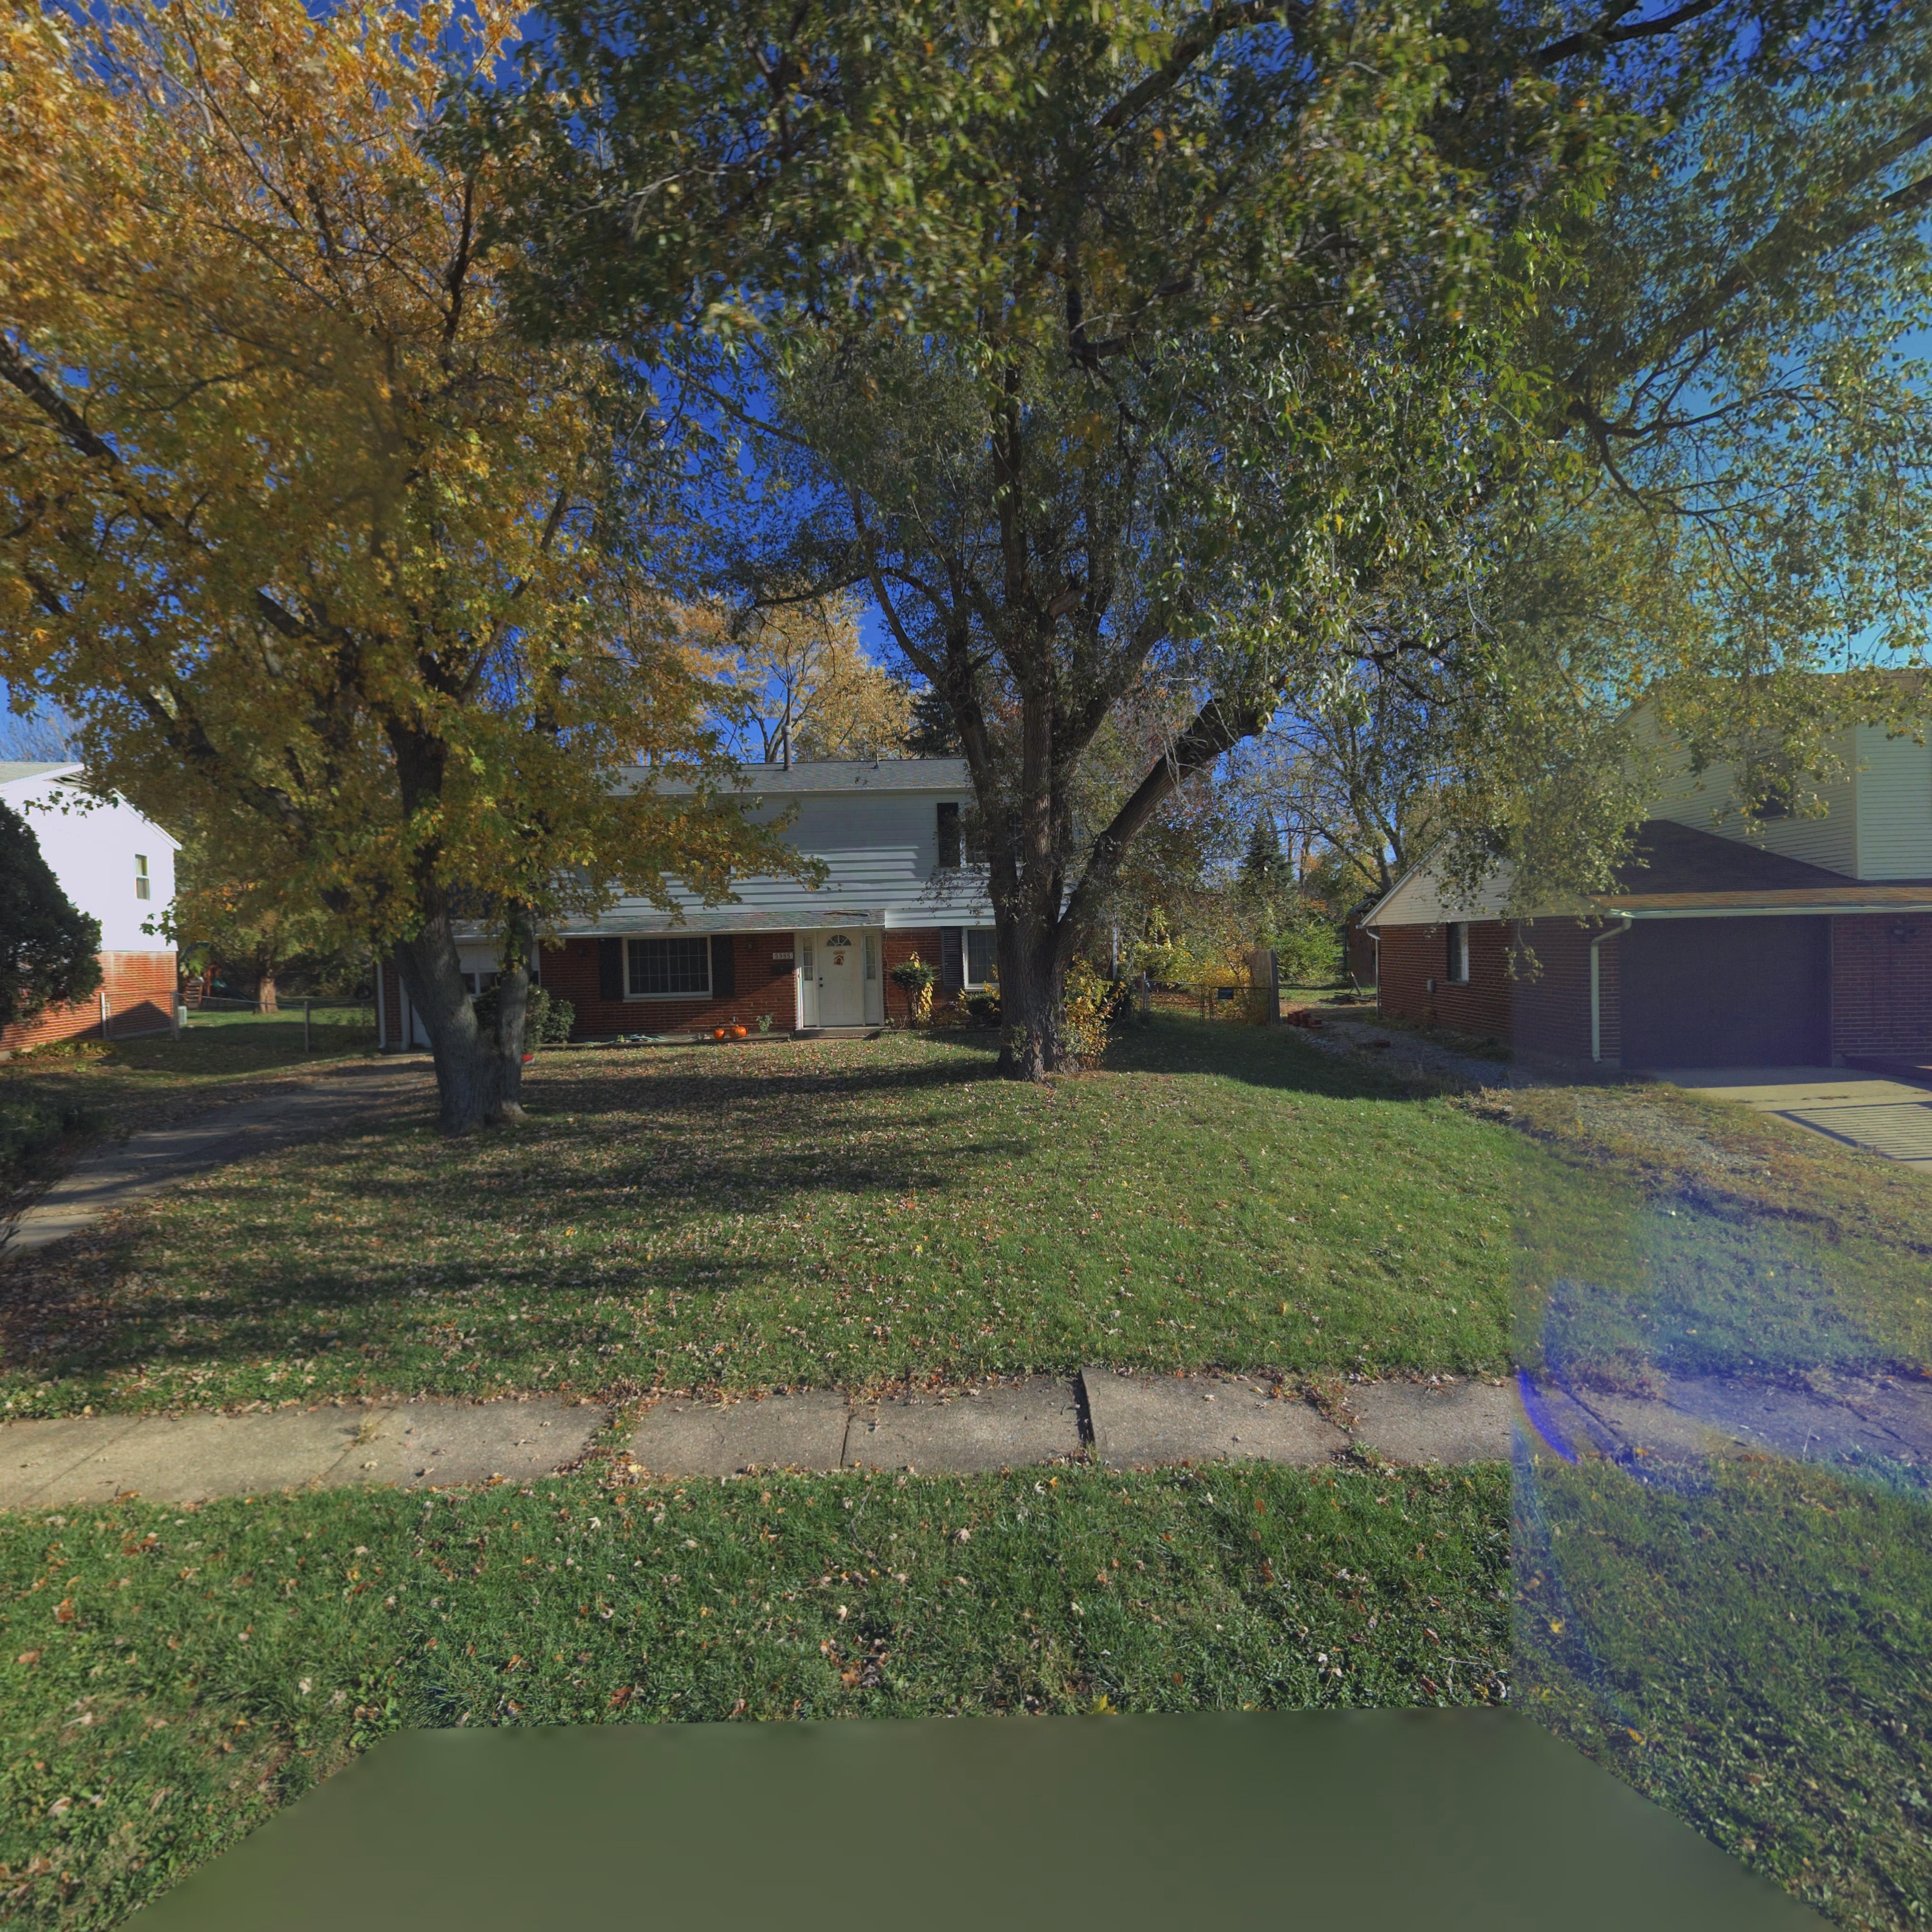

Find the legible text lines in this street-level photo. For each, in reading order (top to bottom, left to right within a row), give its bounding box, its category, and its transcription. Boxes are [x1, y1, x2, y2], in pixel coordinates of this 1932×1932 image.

[774, 953, 792, 960] StreetNumber: 5985